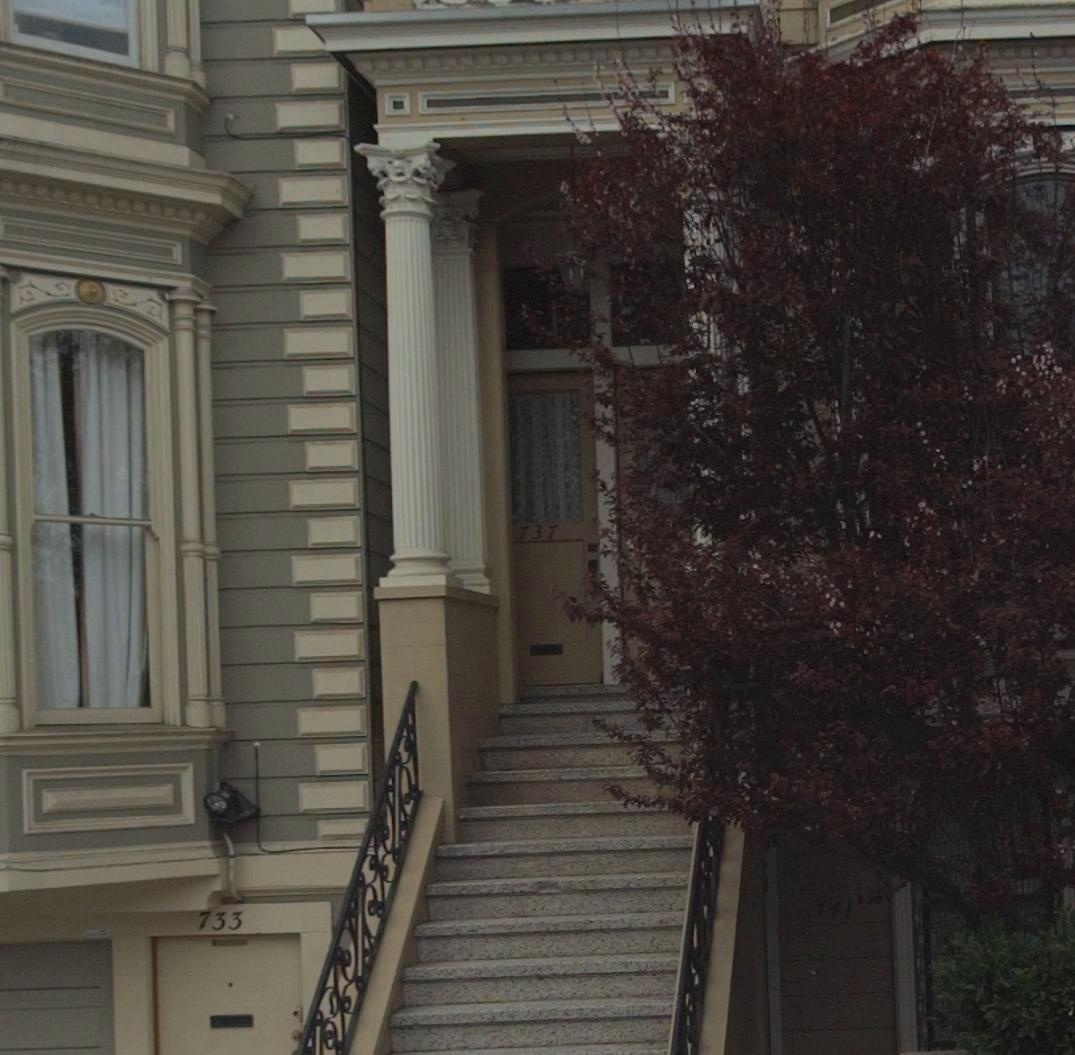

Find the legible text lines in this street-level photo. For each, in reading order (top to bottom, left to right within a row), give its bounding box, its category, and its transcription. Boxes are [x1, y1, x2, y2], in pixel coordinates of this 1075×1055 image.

[516, 523, 561, 542] StreetNumber: 737
[194, 908, 248, 934] StreetNumber: 733
[815, 896, 856, 921] StreetNumber: 741